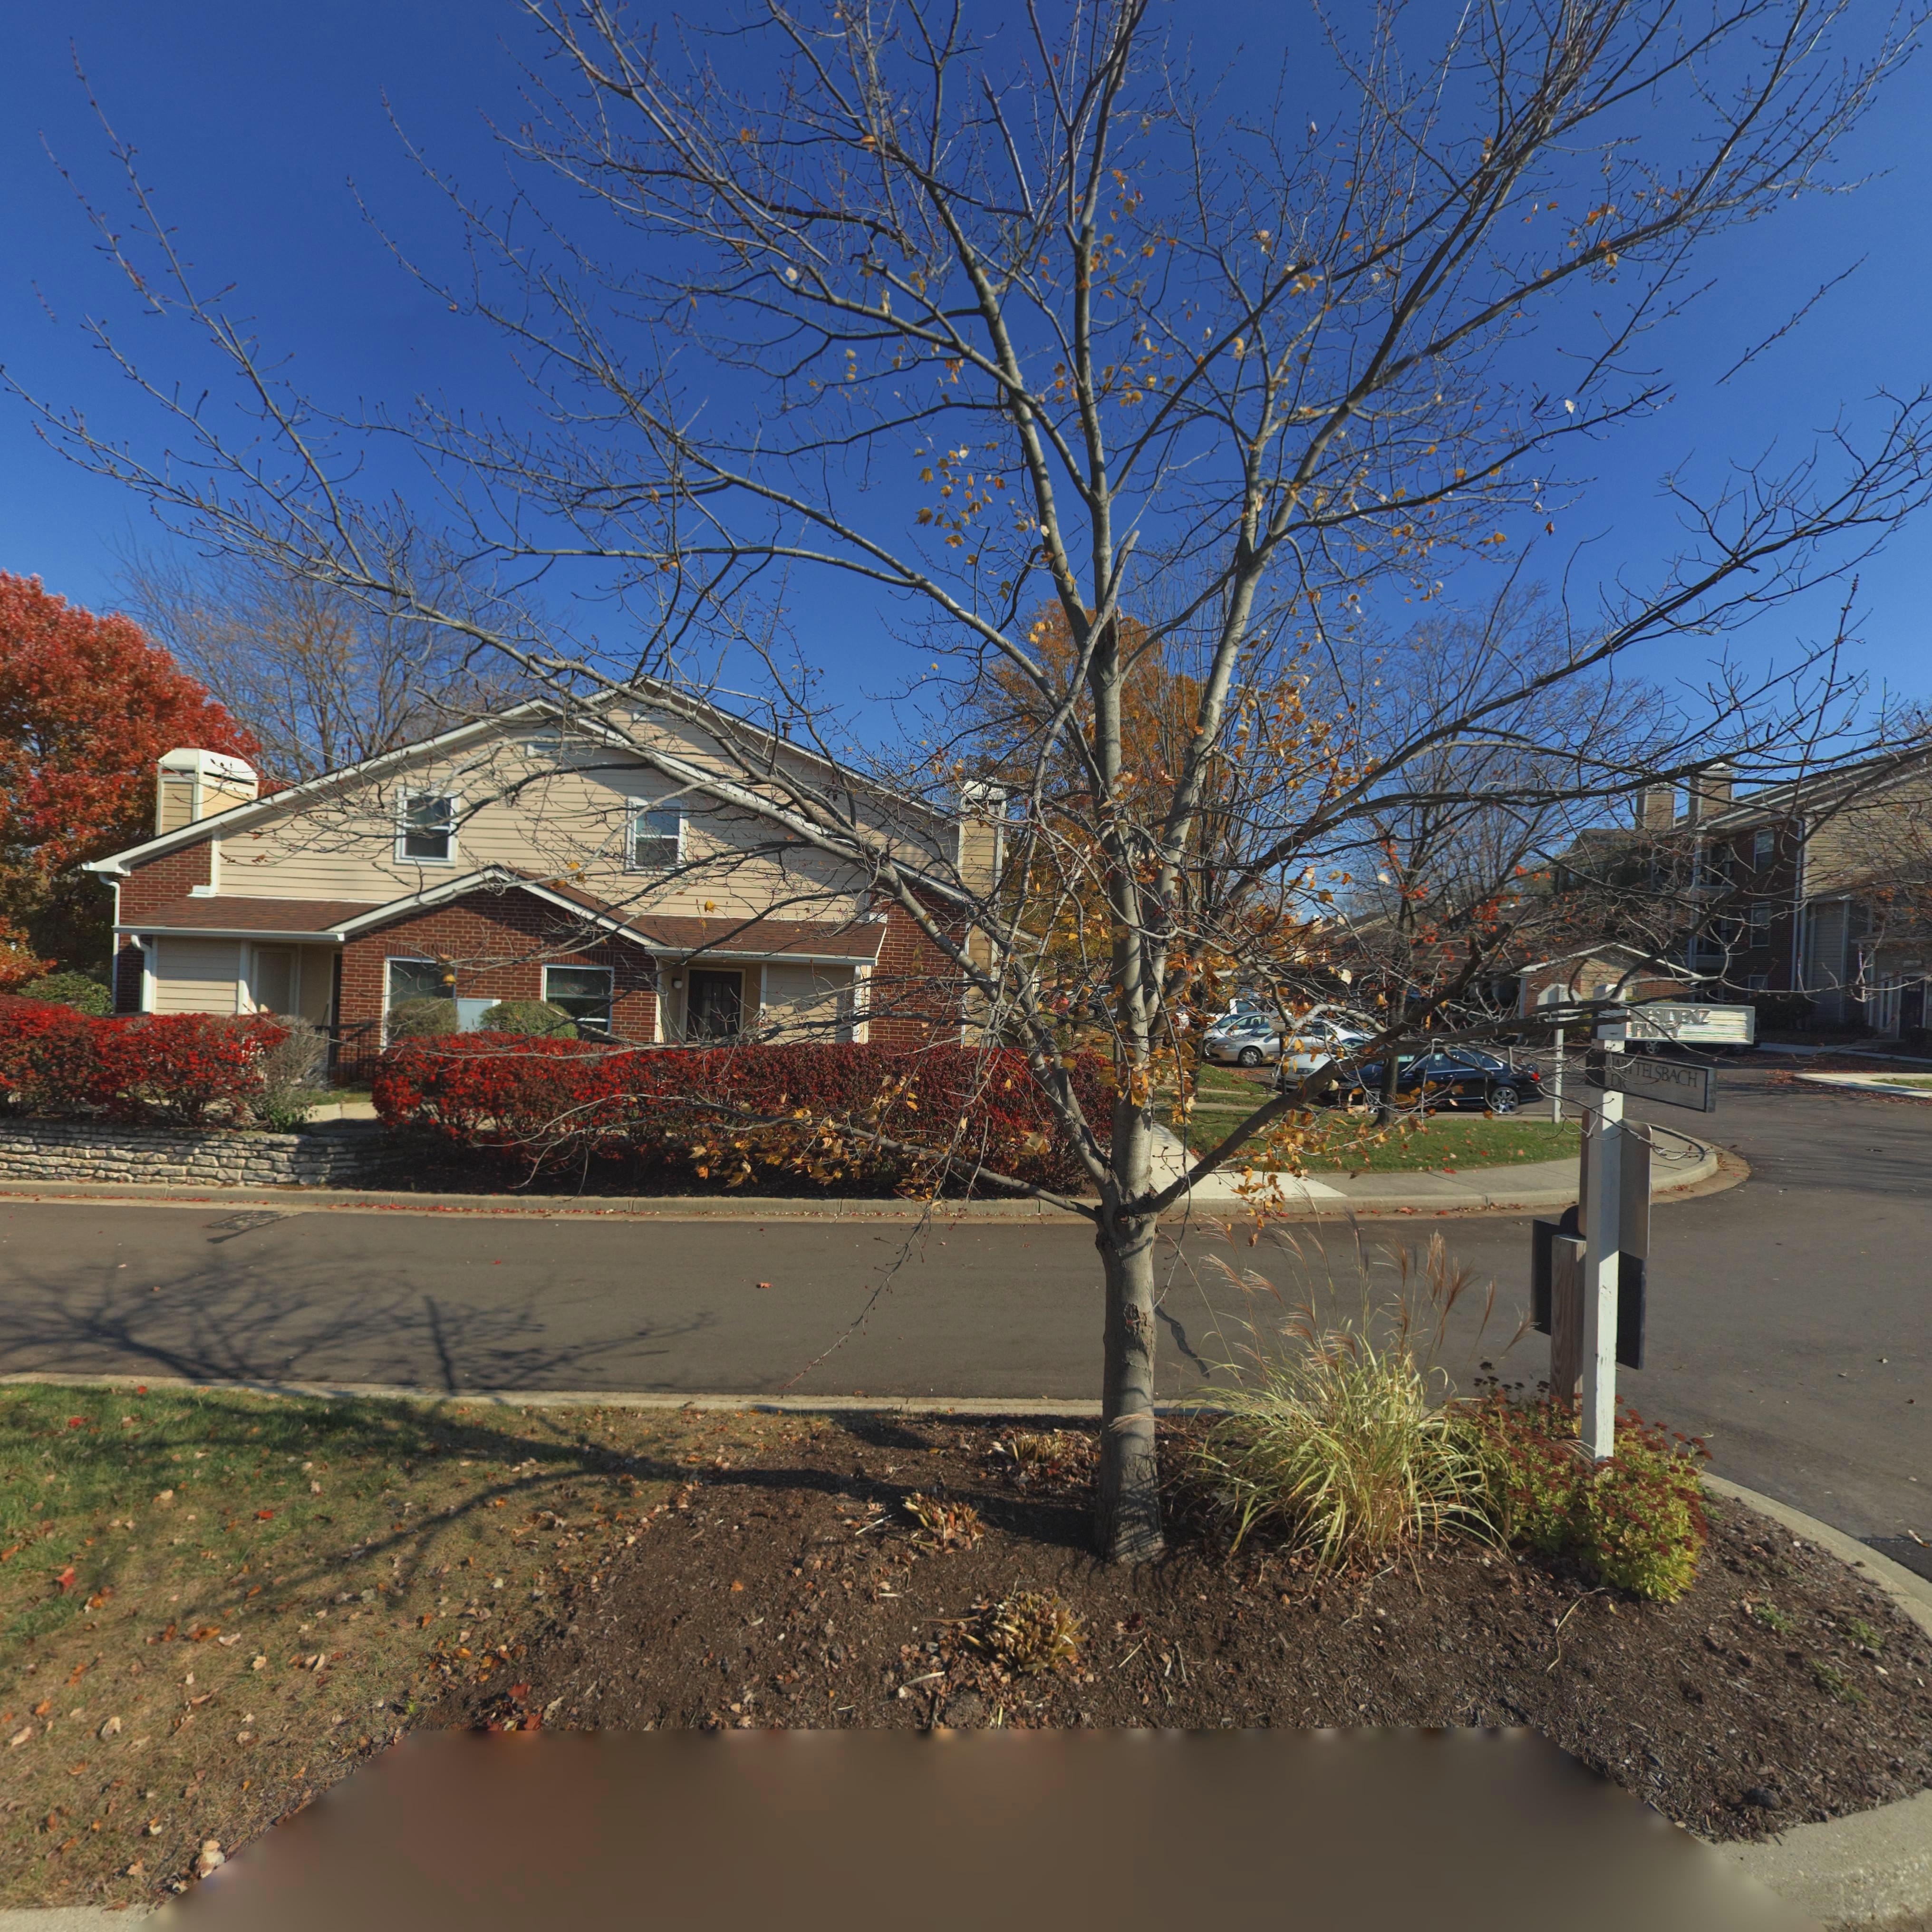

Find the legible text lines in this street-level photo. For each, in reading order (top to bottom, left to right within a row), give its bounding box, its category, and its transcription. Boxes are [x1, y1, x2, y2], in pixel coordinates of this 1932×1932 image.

[1632, 1006, 1711, 1024] StreetName: RESIDENZ
[1631, 1023, 1682, 1038] StreetName: PKWY
[1610, 1072, 1629, 1091] StreetName: DR
[1611, 1056, 1698, 1088] StreetName: WITTELSBACH